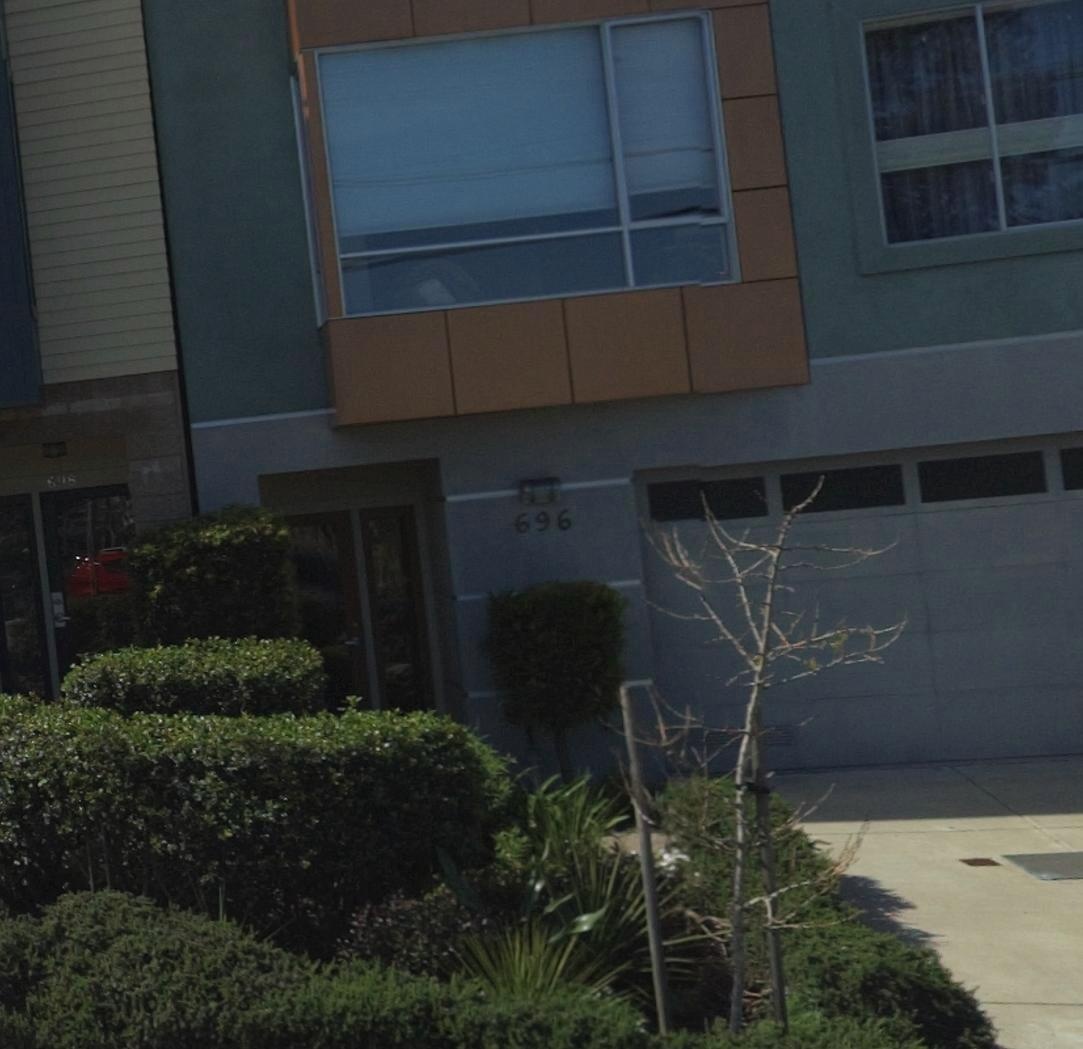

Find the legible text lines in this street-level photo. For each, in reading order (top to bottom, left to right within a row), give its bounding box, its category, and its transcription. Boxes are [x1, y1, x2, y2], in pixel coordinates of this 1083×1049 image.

[45, 473, 78, 490] StreetNumber: 698
[513, 507, 574, 536] StreetNumber: 696